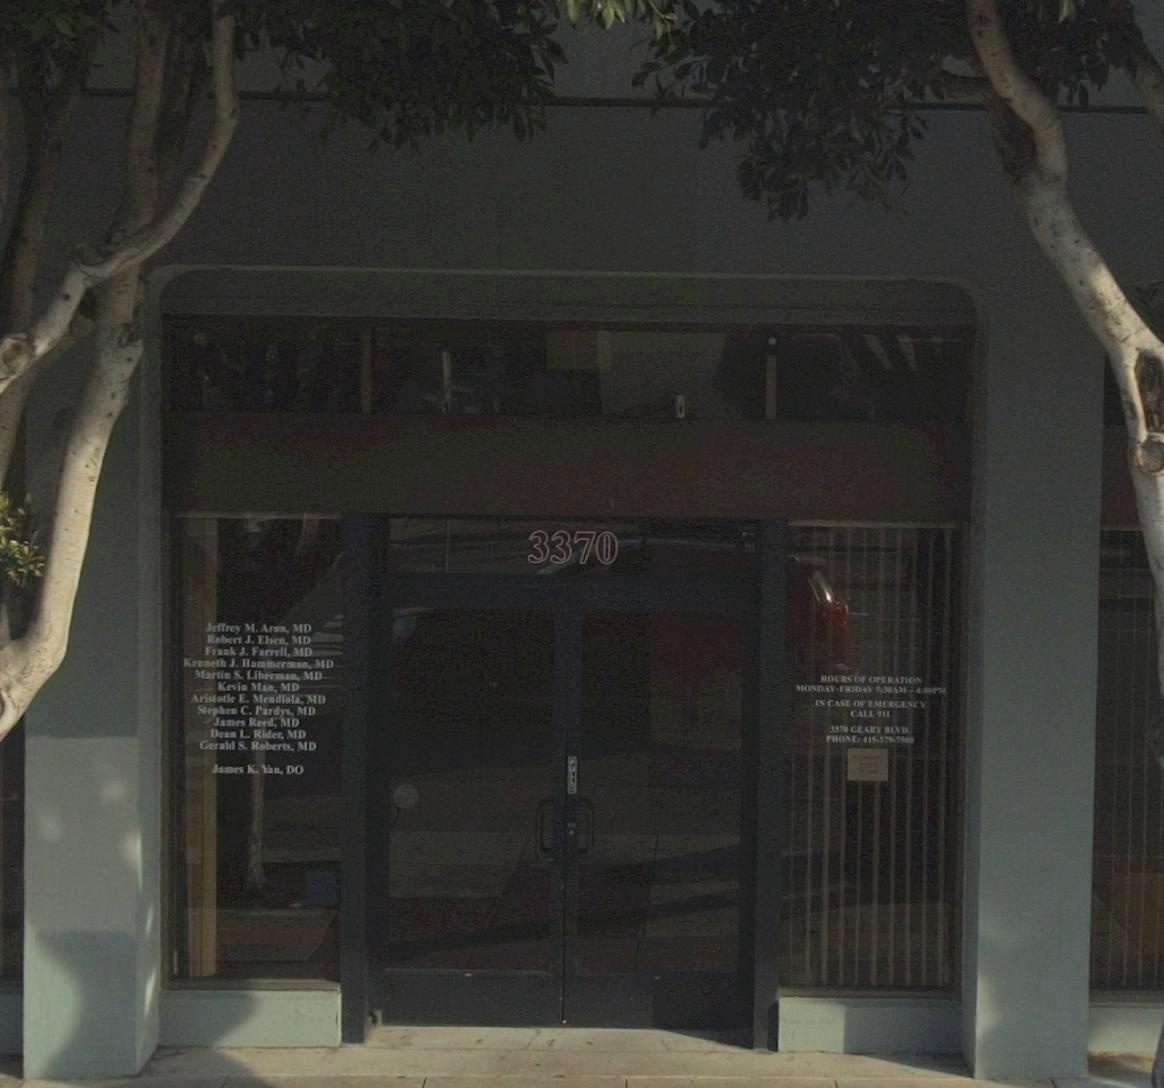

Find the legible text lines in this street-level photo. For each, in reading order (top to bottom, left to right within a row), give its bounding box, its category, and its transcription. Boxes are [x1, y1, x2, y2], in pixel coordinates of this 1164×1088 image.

[523, 527, 620, 567] StreetNumber: 3370
[203, 620, 314, 637] None: Jeffery M. Ar**, MD
[203, 631, 314, 648] None: Robert J. El***, MD
[201, 643, 316, 658] None: Frank J. Farrell, MD
[177, 653, 337, 671] None: Kenneth J. Hammerman, MD
[215, 679, 302, 695] None: Kevin Man, MD
[190, 666, 328, 683] None: Martin S. Liberman, MD
[791, 680, 950, 698] None: MONDAY-FRIDAY 7:**AM-4:00PM
[815, 672, 927, 686] None: HOURS OF OPERATION
[189, 700, 320, 718] None: Stephen C. Pardy*, MD
[210, 713, 300, 730] None: James Reed, MD
[186, 690, 329, 707] None: Aristotle E. Mendiola, MD
[206, 726, 309, 741] None: Dean L, Rider, MD
[197, 738, 320, 754] None: Gerald S. Roberts, MD
[827, 722, 850, 735] None: 3370
[823, 732, 859, 745] None: PHONE
[847, 707, 892, 720] None: CALL 911
[810, 695, 930, 710] None: IN CASE OF EMERGENCY
[848, 723, 910, 736] None: GEARY BLVD
[208, 761, 307, 777] None: James K. Yan, DO